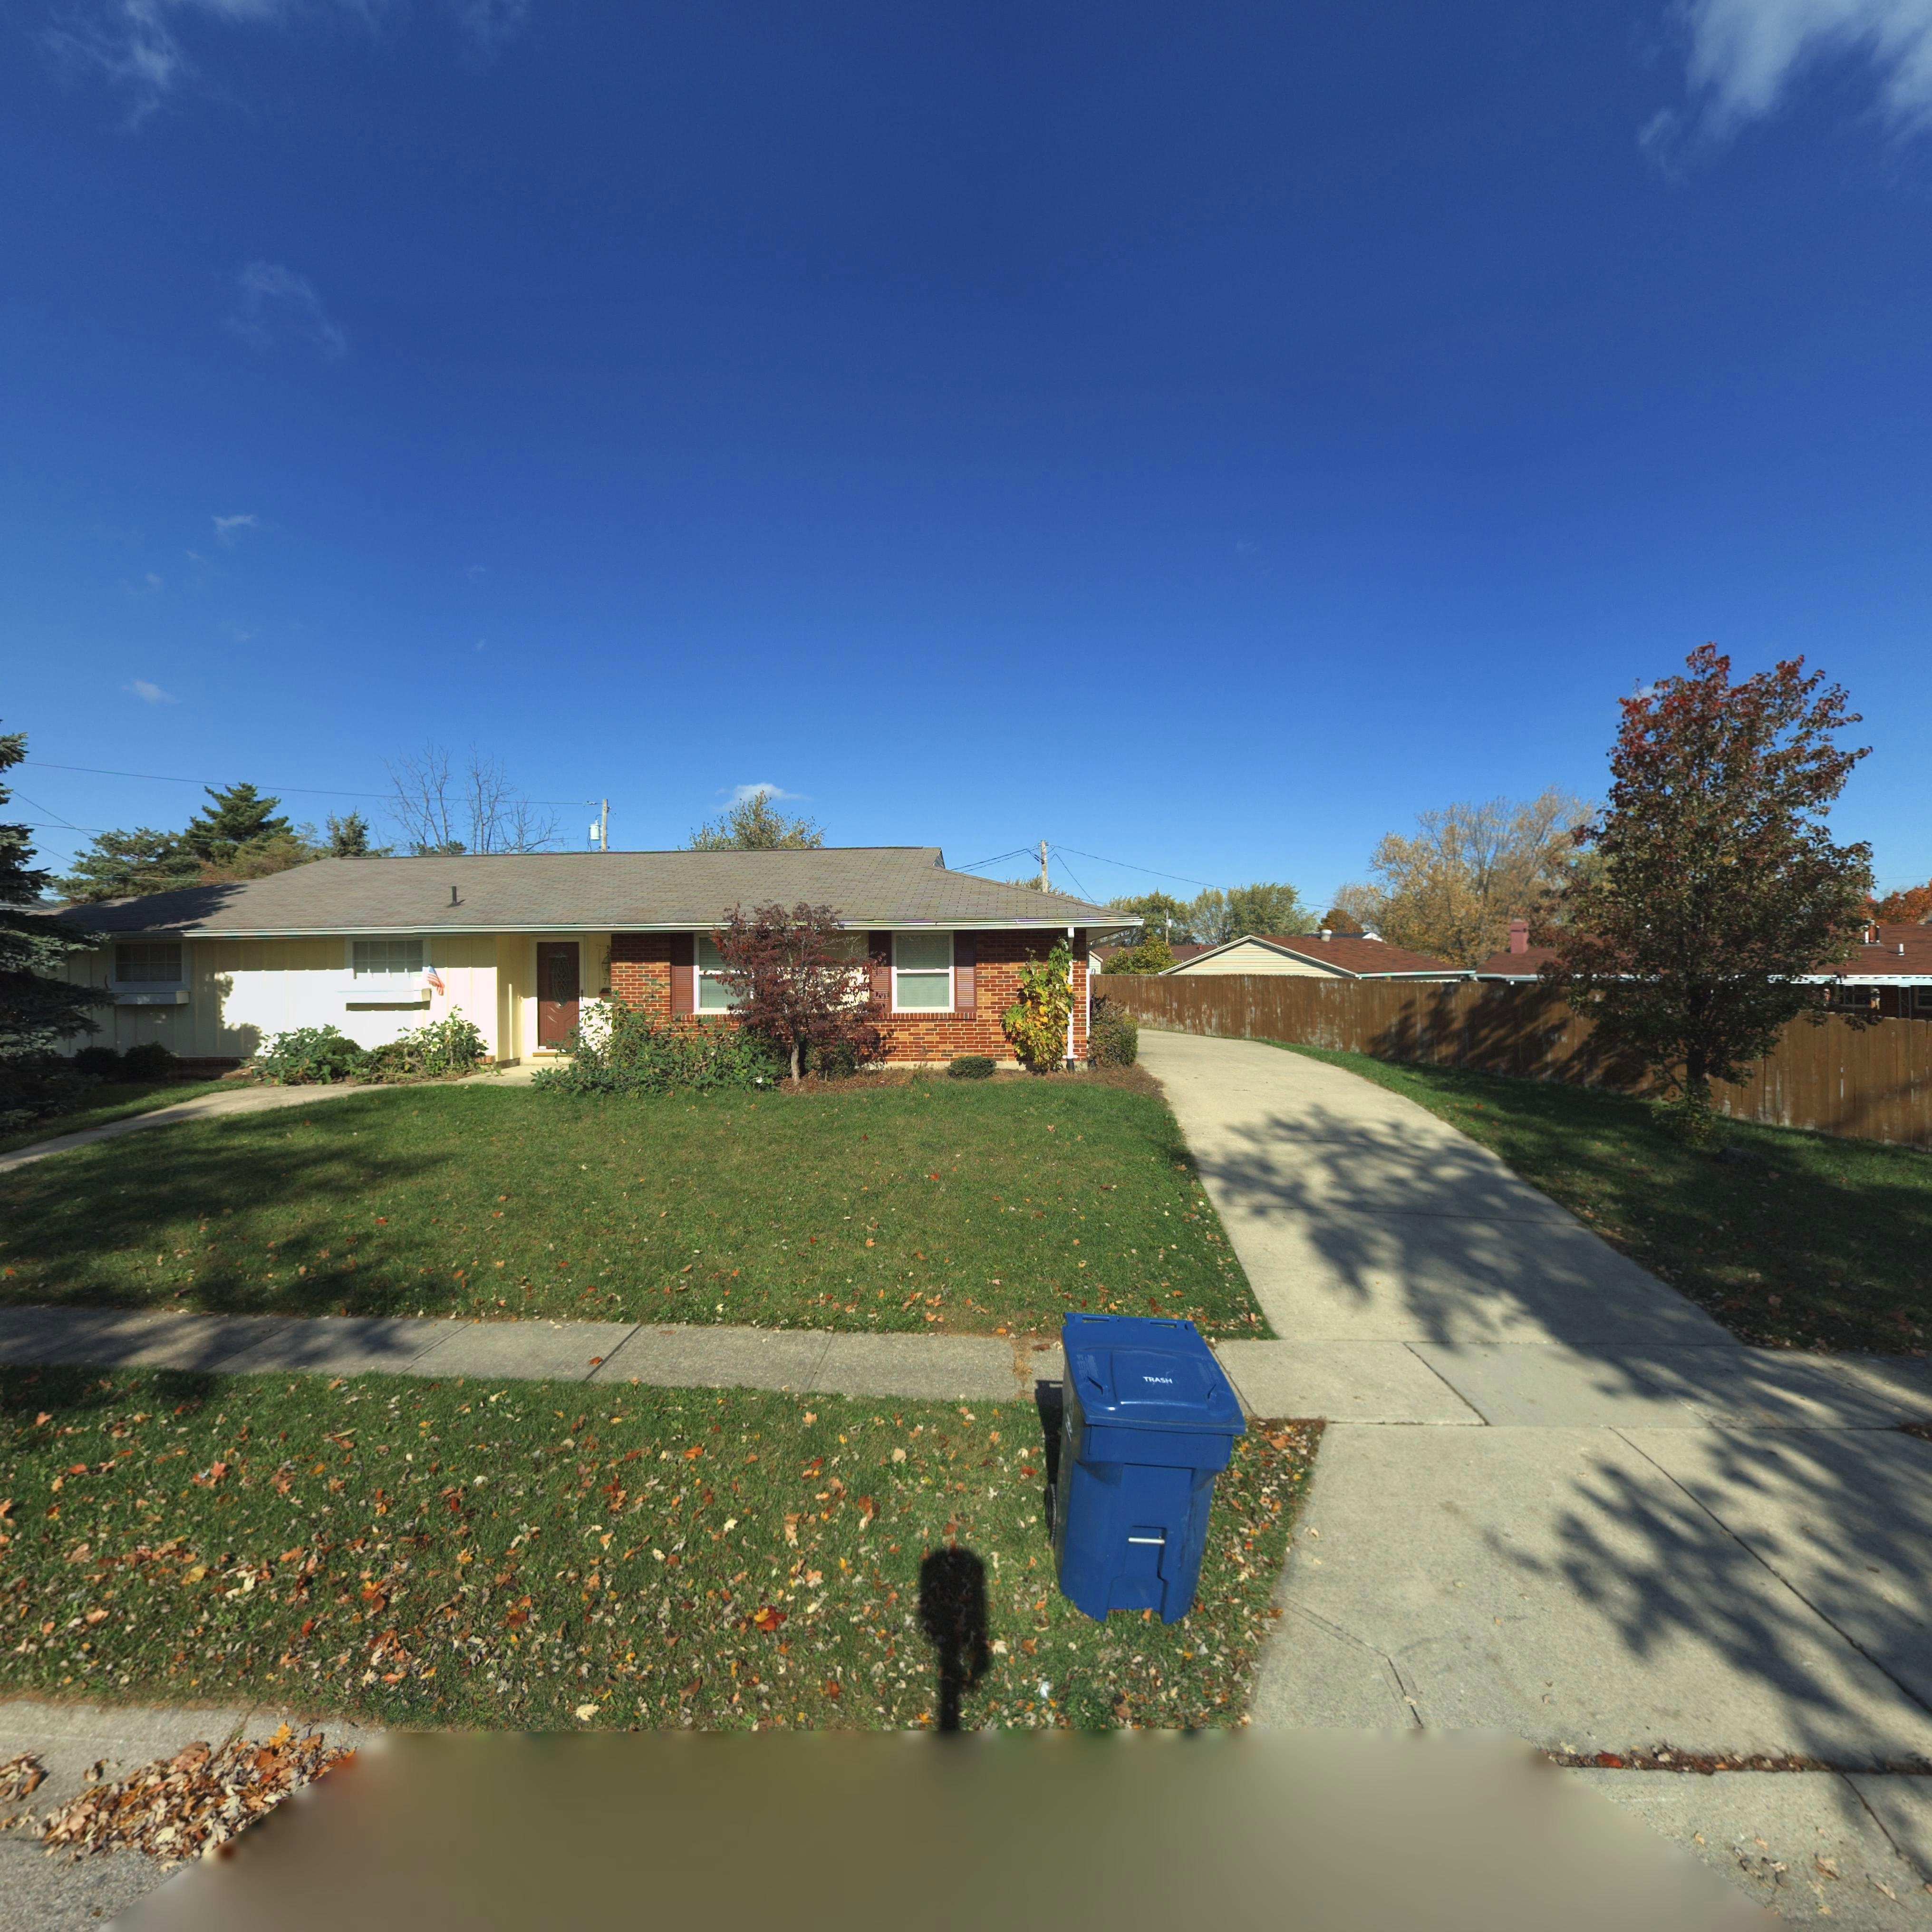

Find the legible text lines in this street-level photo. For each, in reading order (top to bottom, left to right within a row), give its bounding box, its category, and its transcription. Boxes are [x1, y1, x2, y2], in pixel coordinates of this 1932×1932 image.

[601, 977, 611, 985] StreetNumber: 71